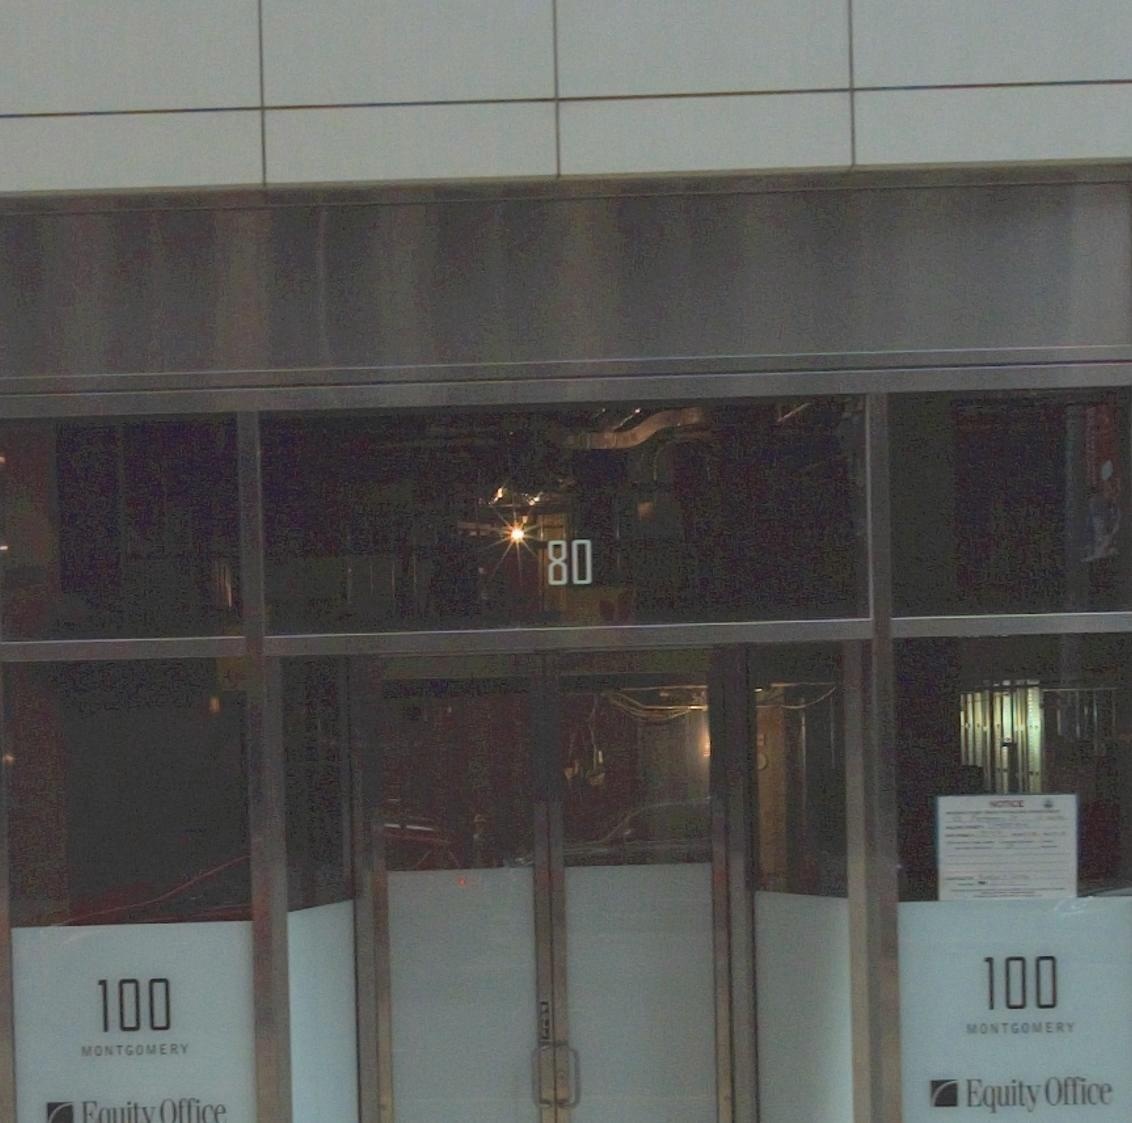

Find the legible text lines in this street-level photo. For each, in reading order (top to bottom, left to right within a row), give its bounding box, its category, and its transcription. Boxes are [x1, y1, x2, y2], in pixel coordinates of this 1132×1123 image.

[546, 538, 594, 586] StreetNumber: 80
[988, 797, 1027, 809] None: NOTICE
[981, 954, 1061, 1011] StreetNumber: 100
[95, 976, 174, 1034] StreetNumber: 100
[540, 1002, 550, 1040] None: PULL
[964, 1020, 1077, 1036] StreetName: MONTGOMERY
[80, 1042, 191, 1059] StreetName: MONTGOMERY
[965, 1075, 1116, 1115] None: Equity Office